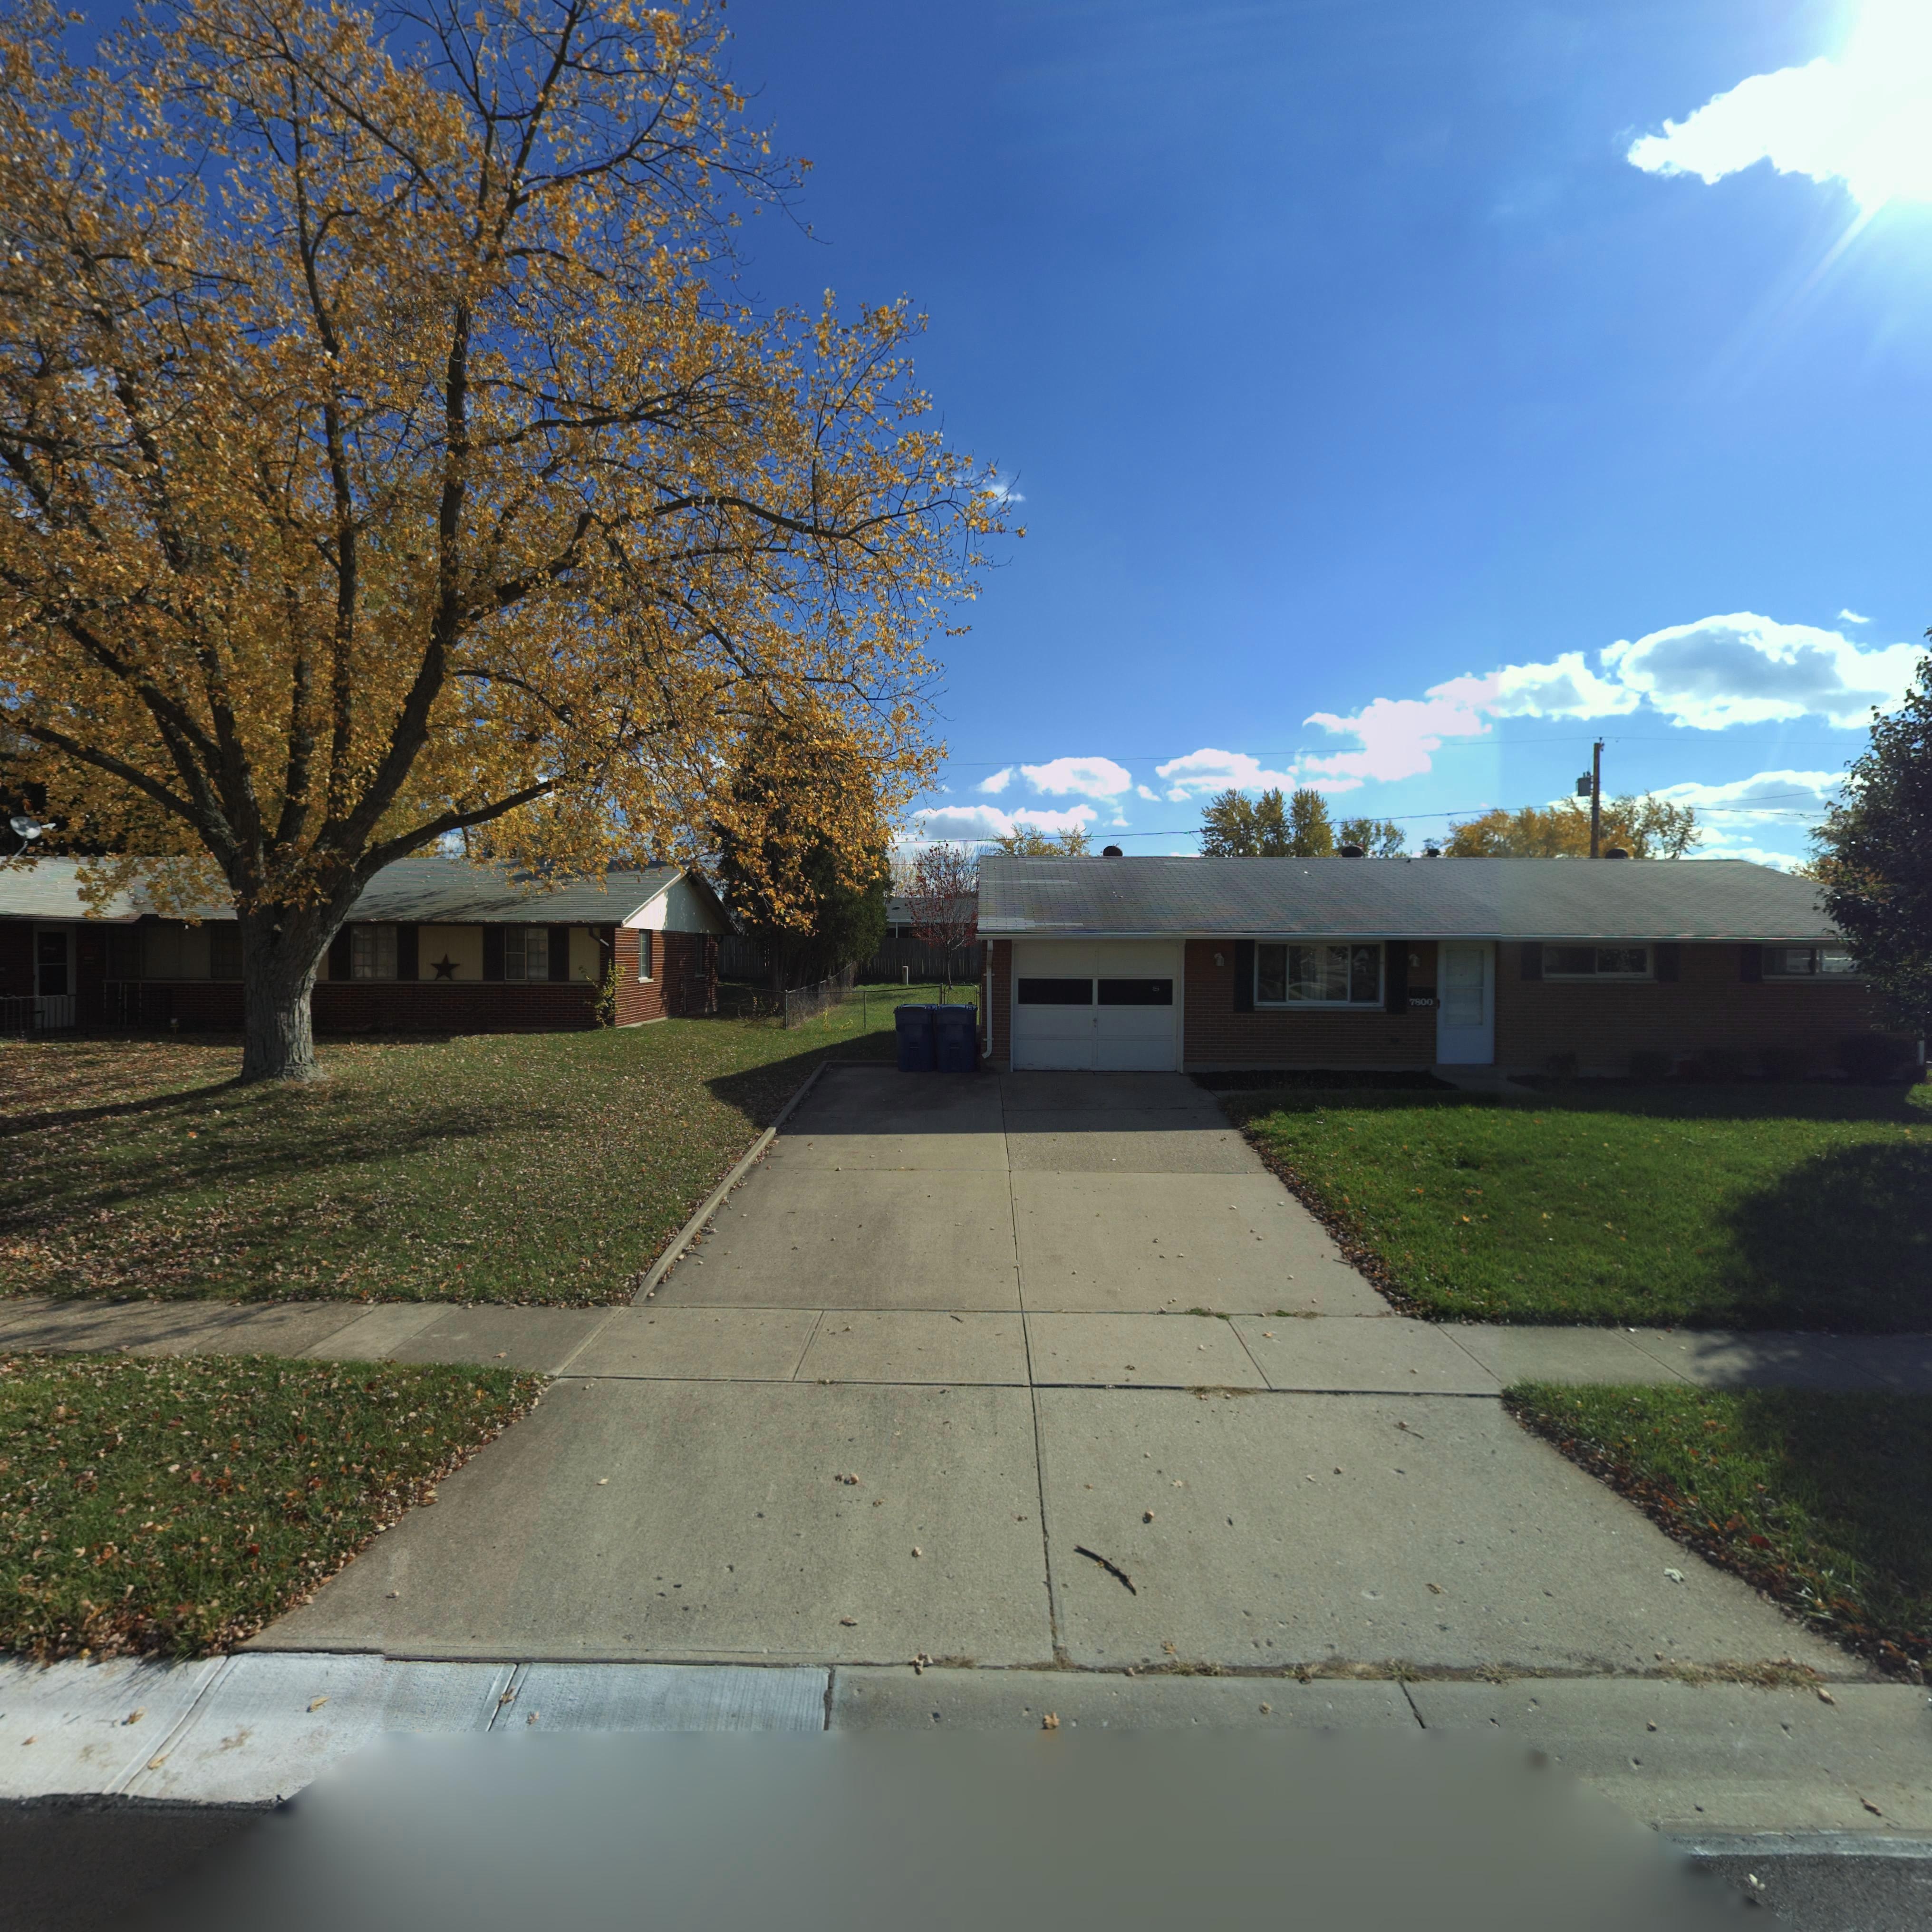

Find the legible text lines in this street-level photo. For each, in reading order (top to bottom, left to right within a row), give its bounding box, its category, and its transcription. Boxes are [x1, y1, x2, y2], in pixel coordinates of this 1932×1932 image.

[1409, 998, 1433, 1006] StreetNumber: 7800